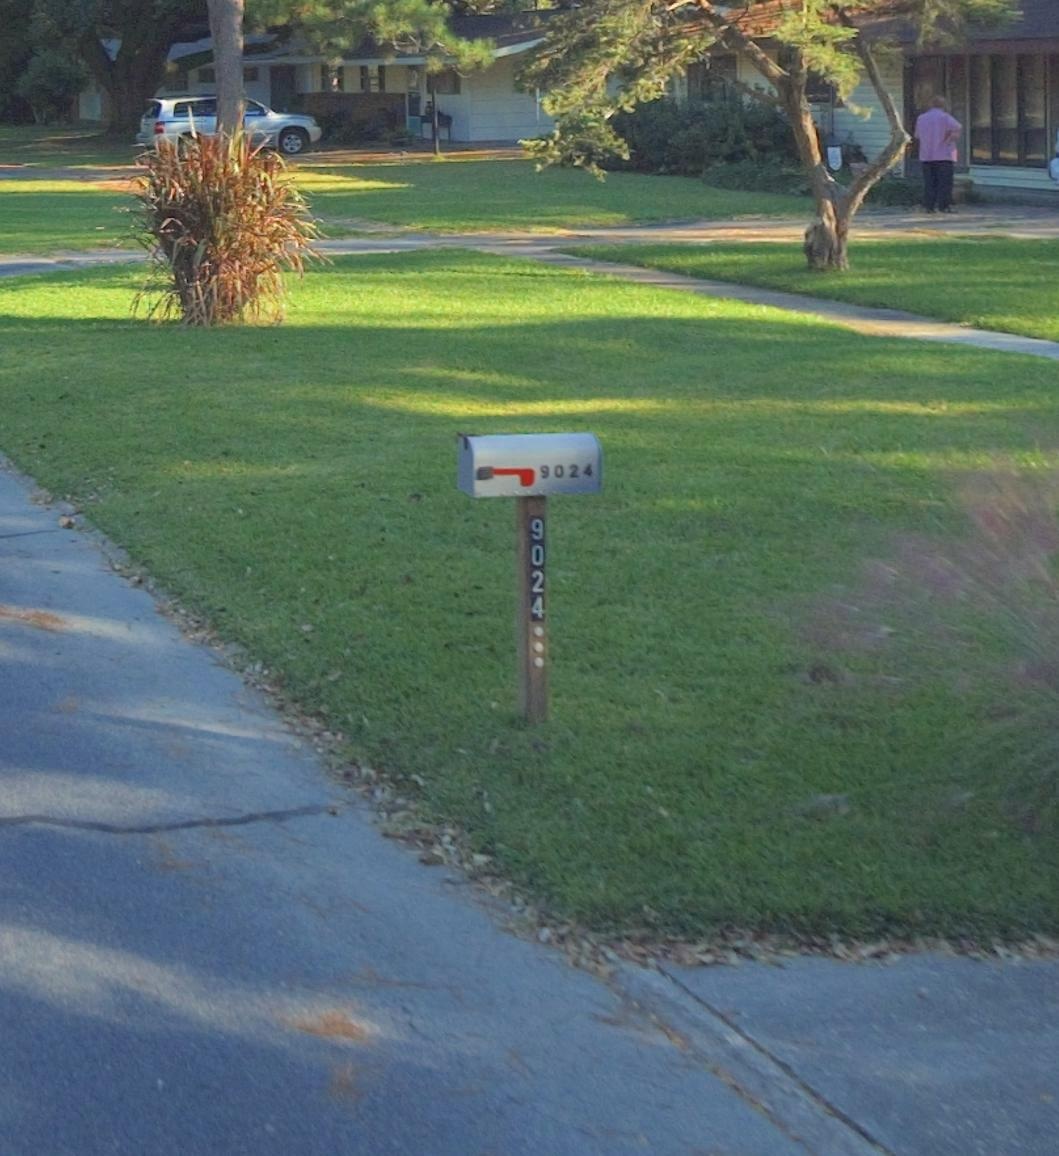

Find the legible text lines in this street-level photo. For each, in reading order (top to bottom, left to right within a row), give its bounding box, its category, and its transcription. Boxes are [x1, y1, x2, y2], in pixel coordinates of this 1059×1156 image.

[539, 463, 593, 479] StreetNumber: 9024
[529, 518, 545, 621] StreetNumber: 9024